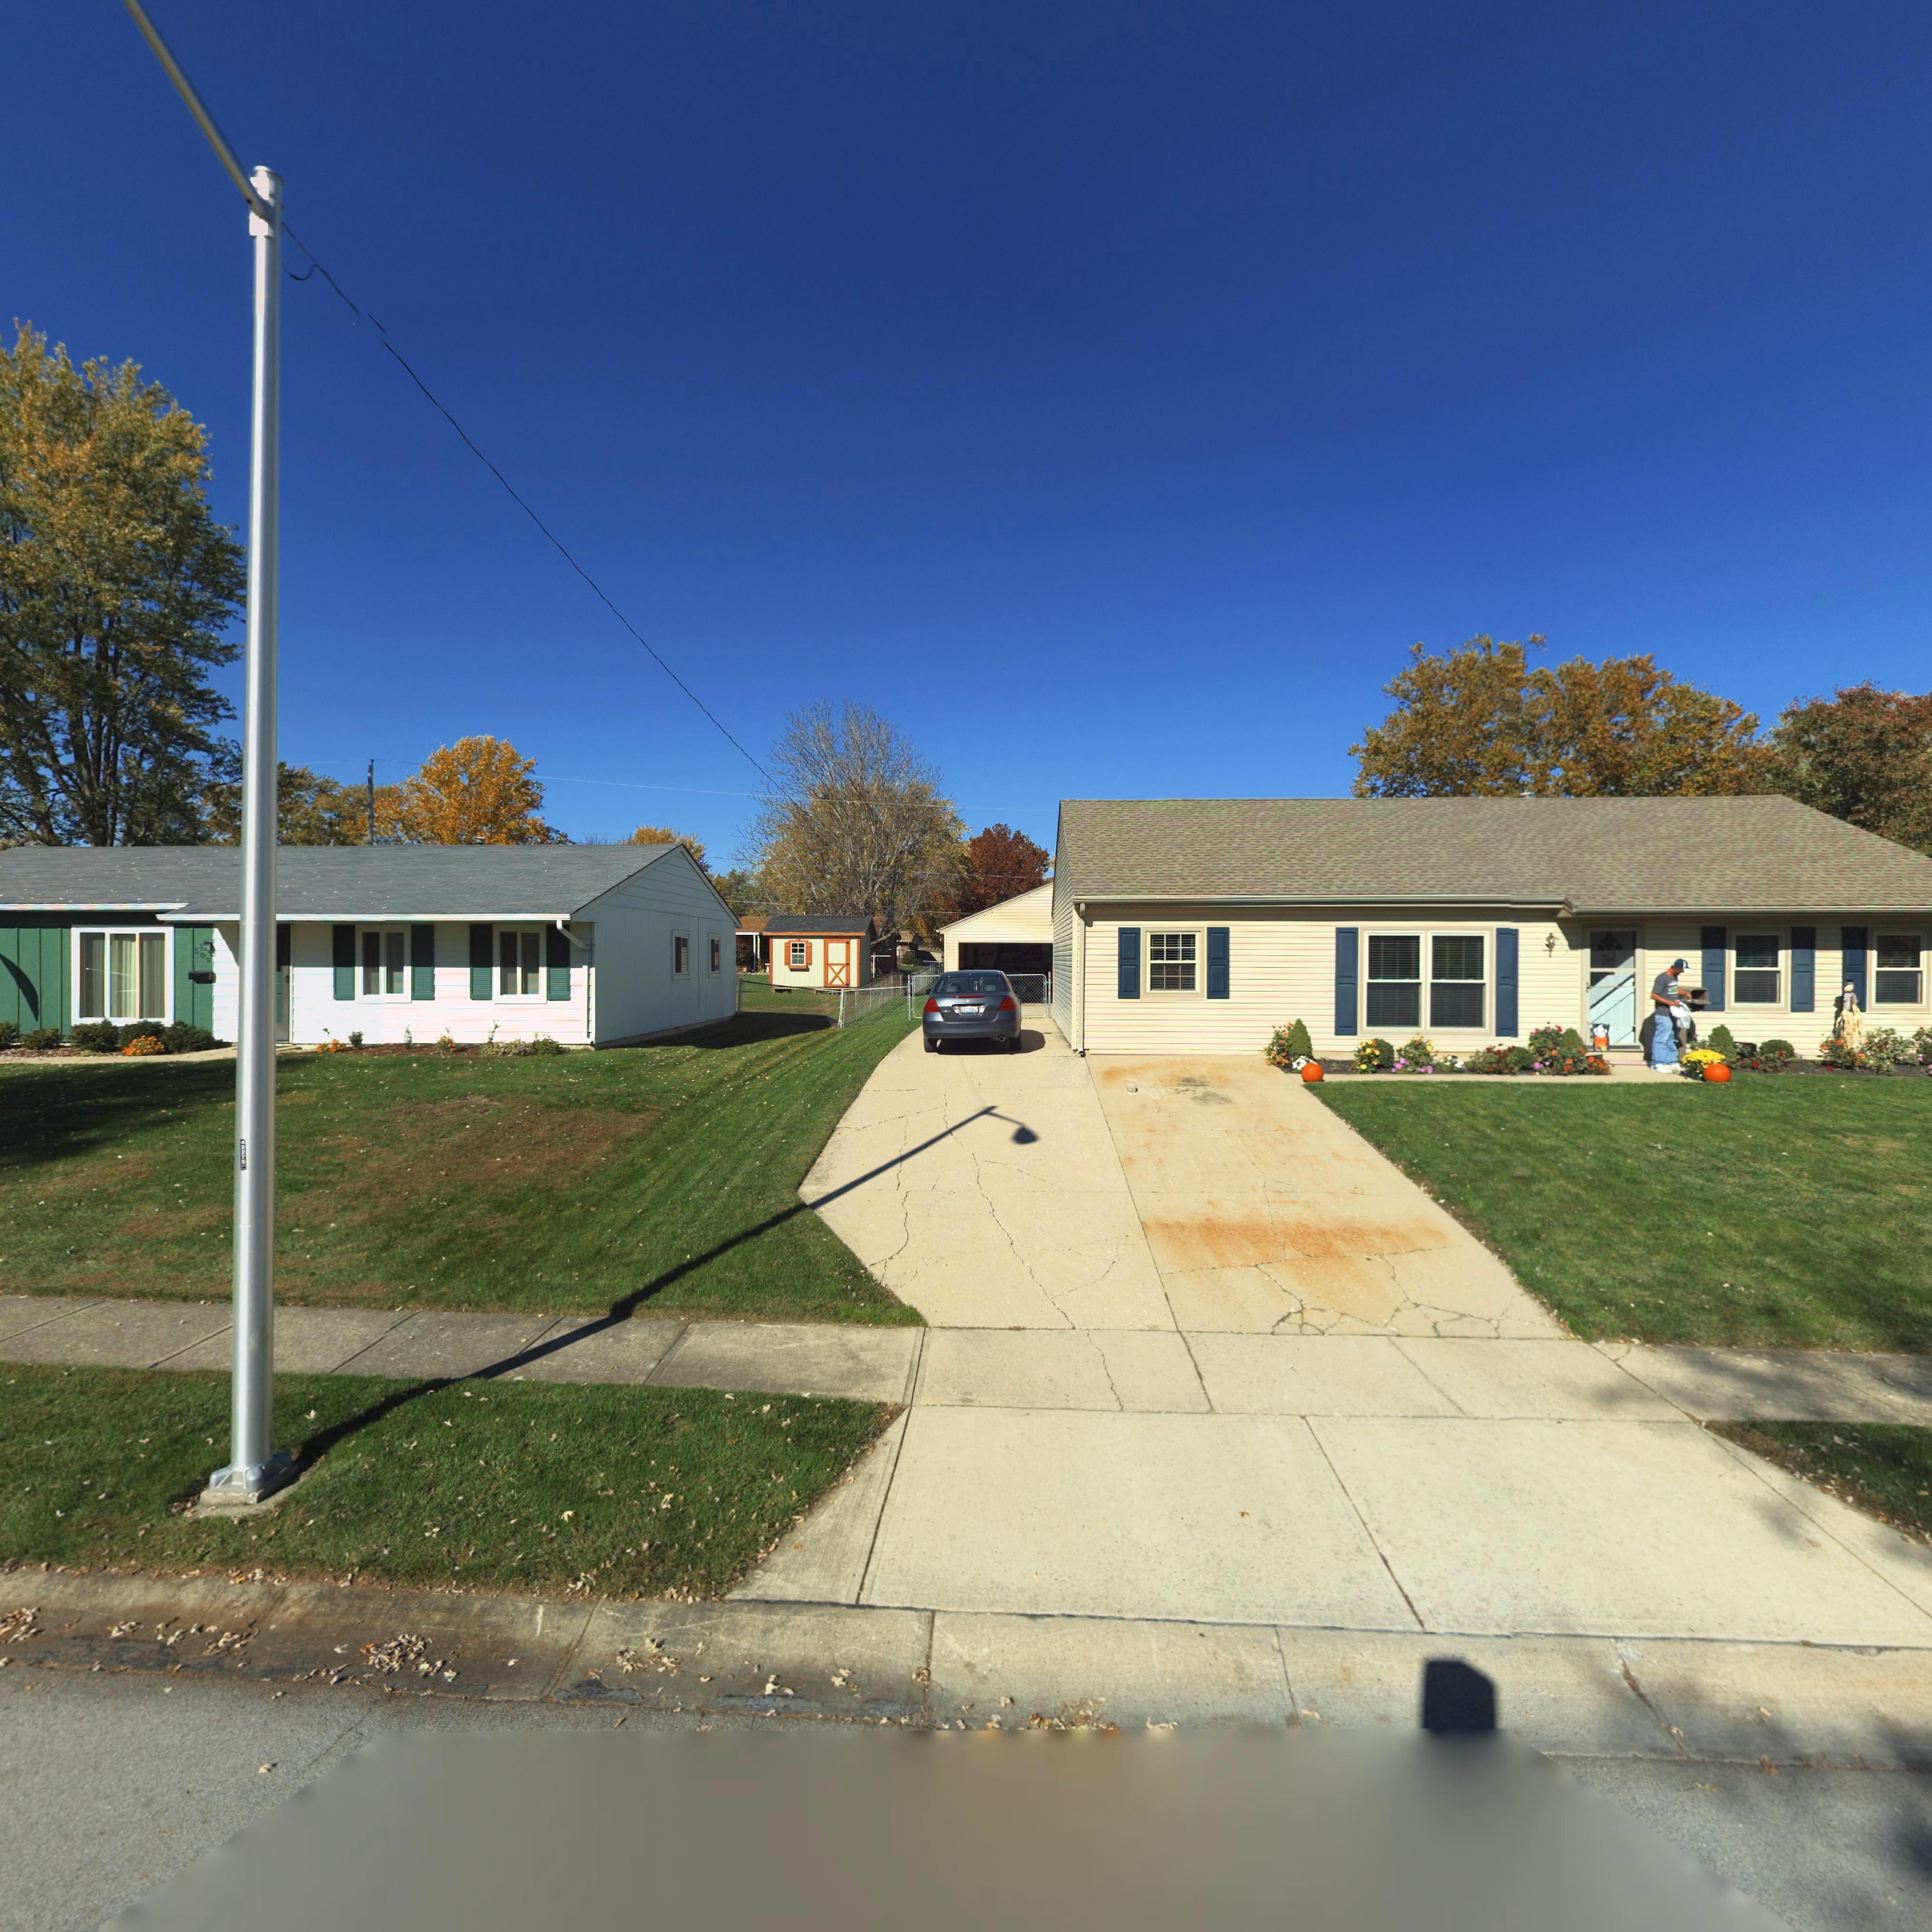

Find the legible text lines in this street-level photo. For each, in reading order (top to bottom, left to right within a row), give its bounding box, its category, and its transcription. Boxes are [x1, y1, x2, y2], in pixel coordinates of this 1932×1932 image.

[193, 947, 211, 964] StreetNumber: 509
[1559, 941, 1570, 956] StreetNumber: 07